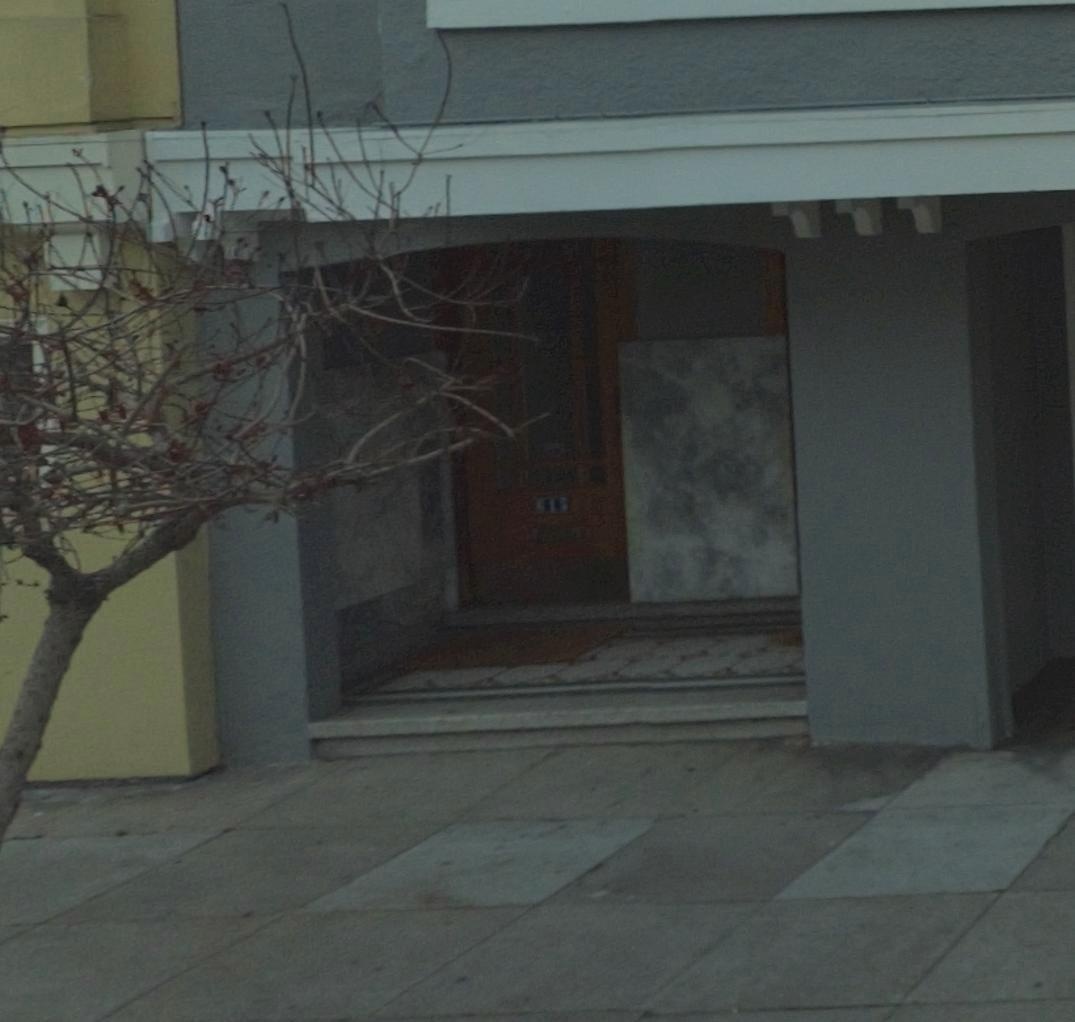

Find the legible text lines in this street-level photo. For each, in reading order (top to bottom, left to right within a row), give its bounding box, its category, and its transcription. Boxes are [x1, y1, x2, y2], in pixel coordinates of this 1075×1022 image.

[534, 495, 569, 515] StreetNumber: 615